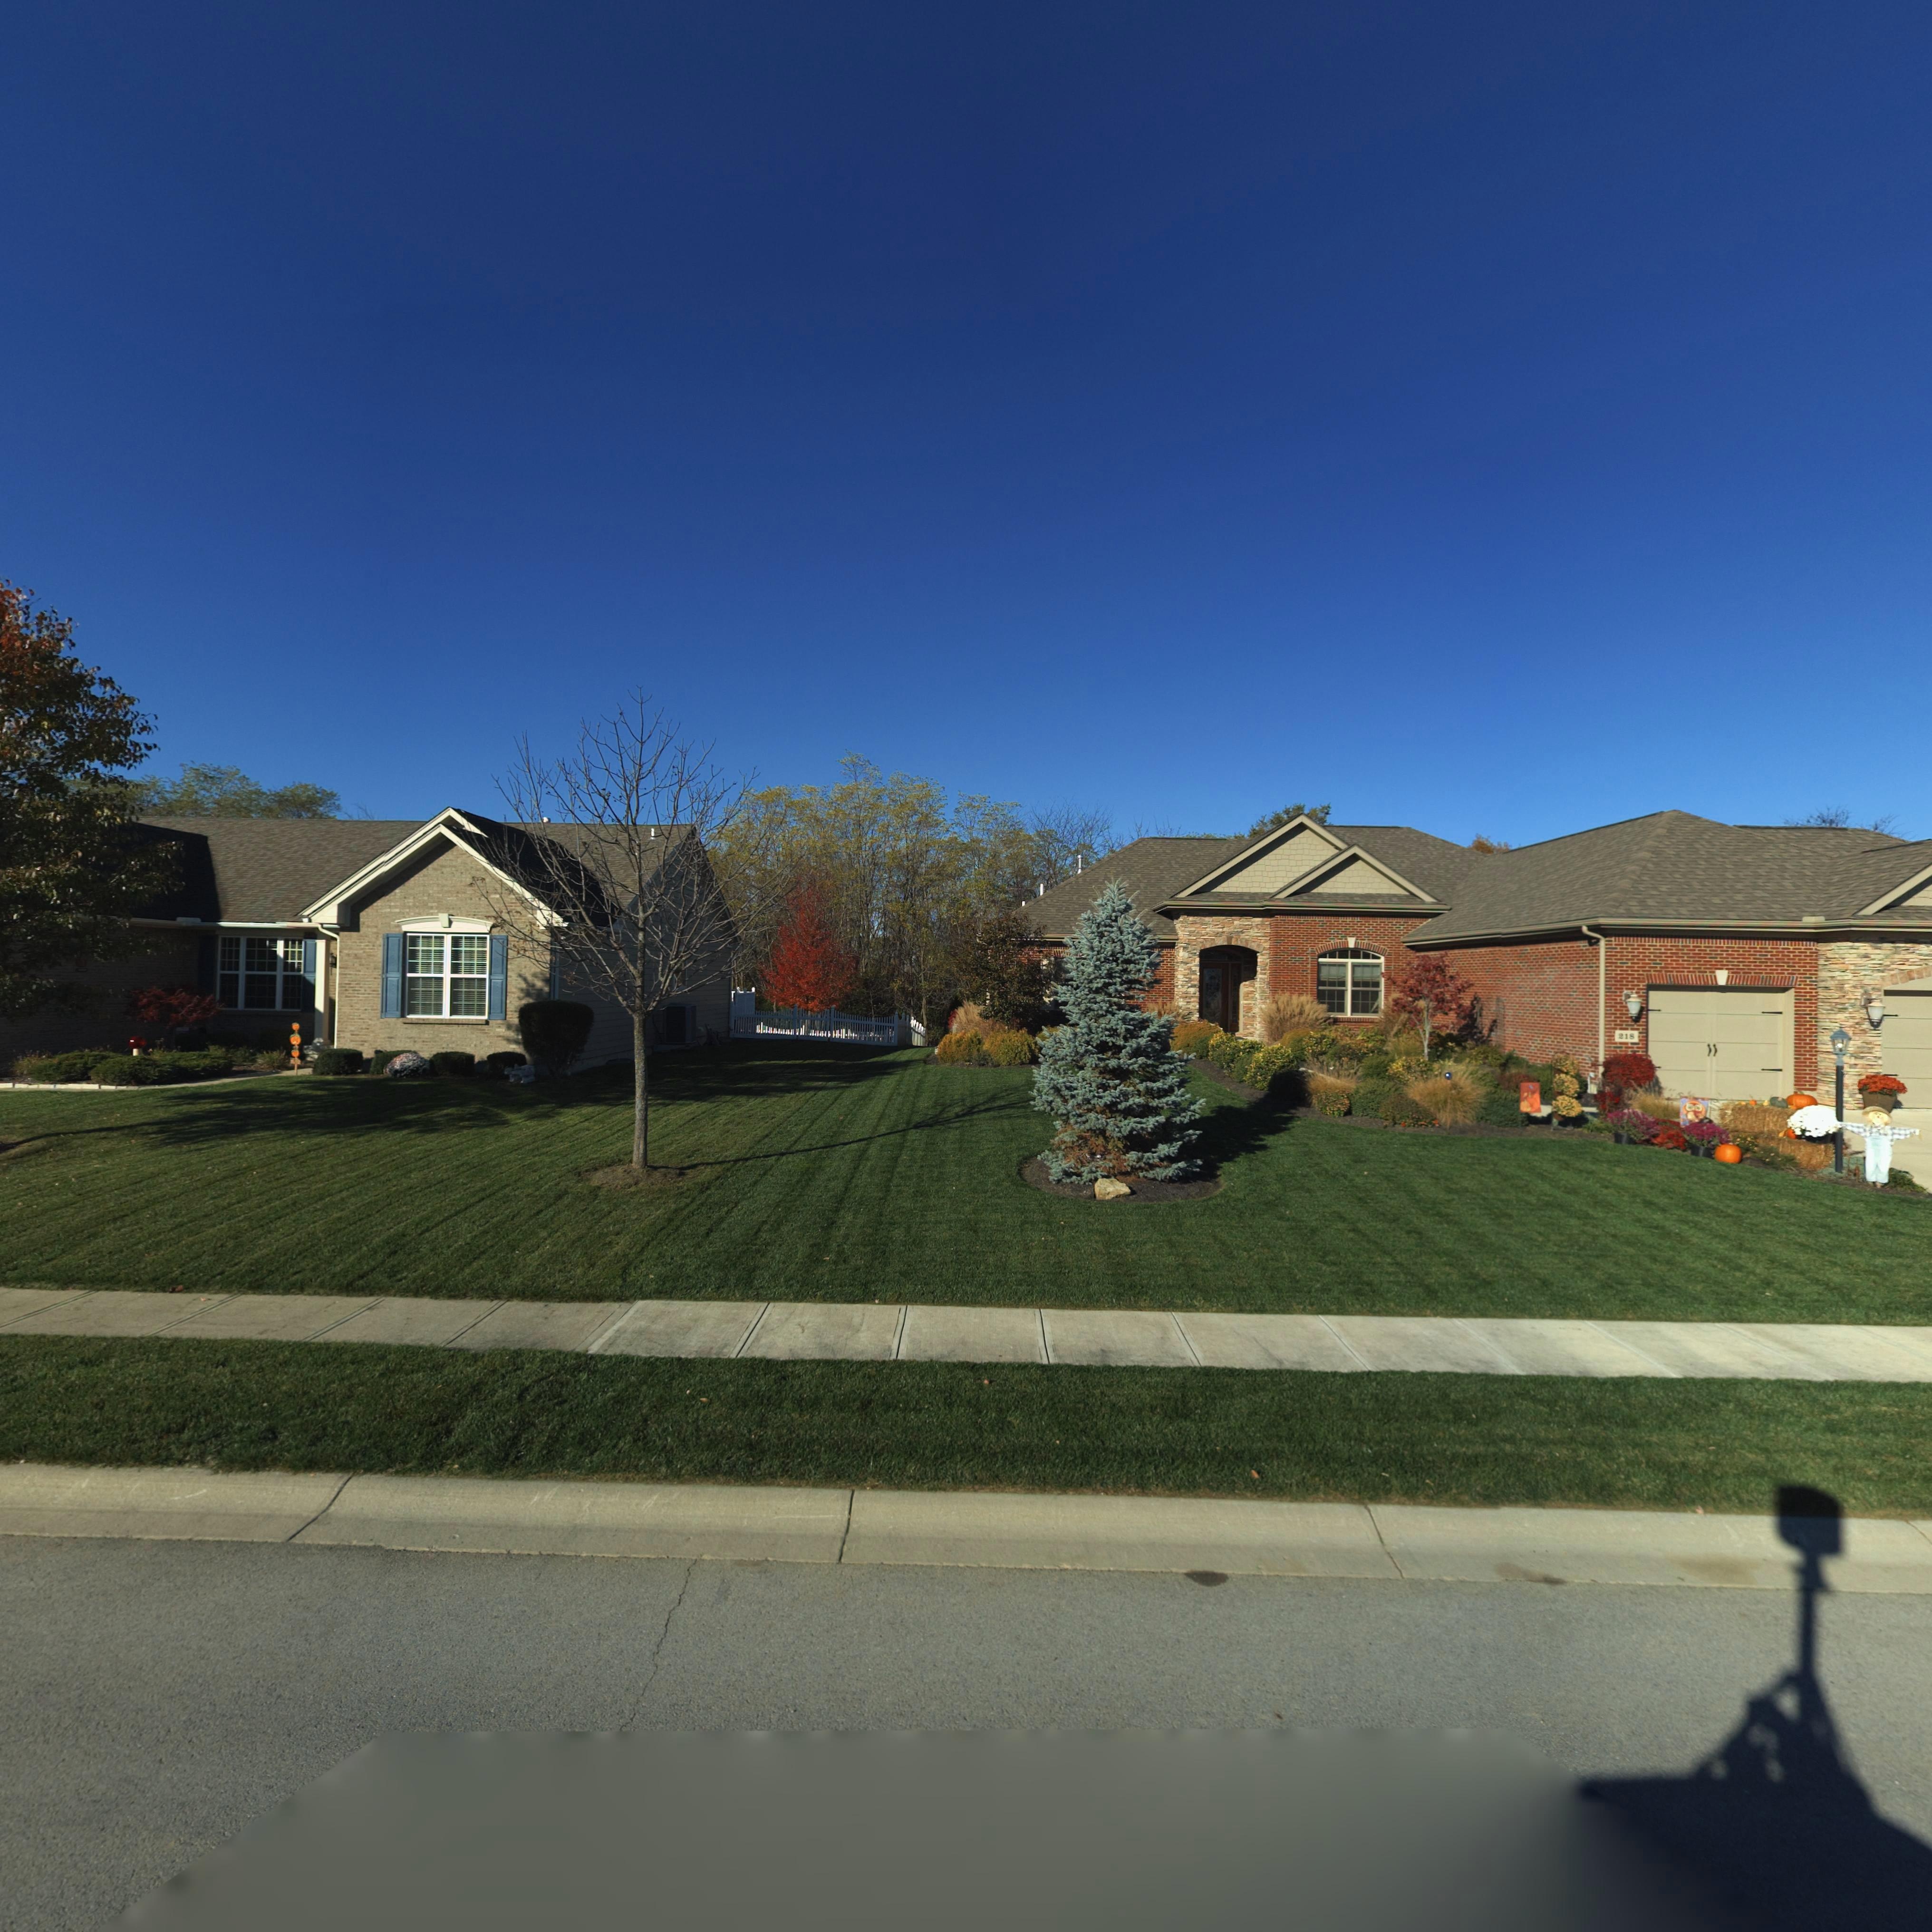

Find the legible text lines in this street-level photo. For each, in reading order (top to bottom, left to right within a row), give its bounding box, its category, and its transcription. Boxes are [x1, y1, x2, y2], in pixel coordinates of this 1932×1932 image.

[1617, 1032, 1635, 1041] StreetNumber: 218